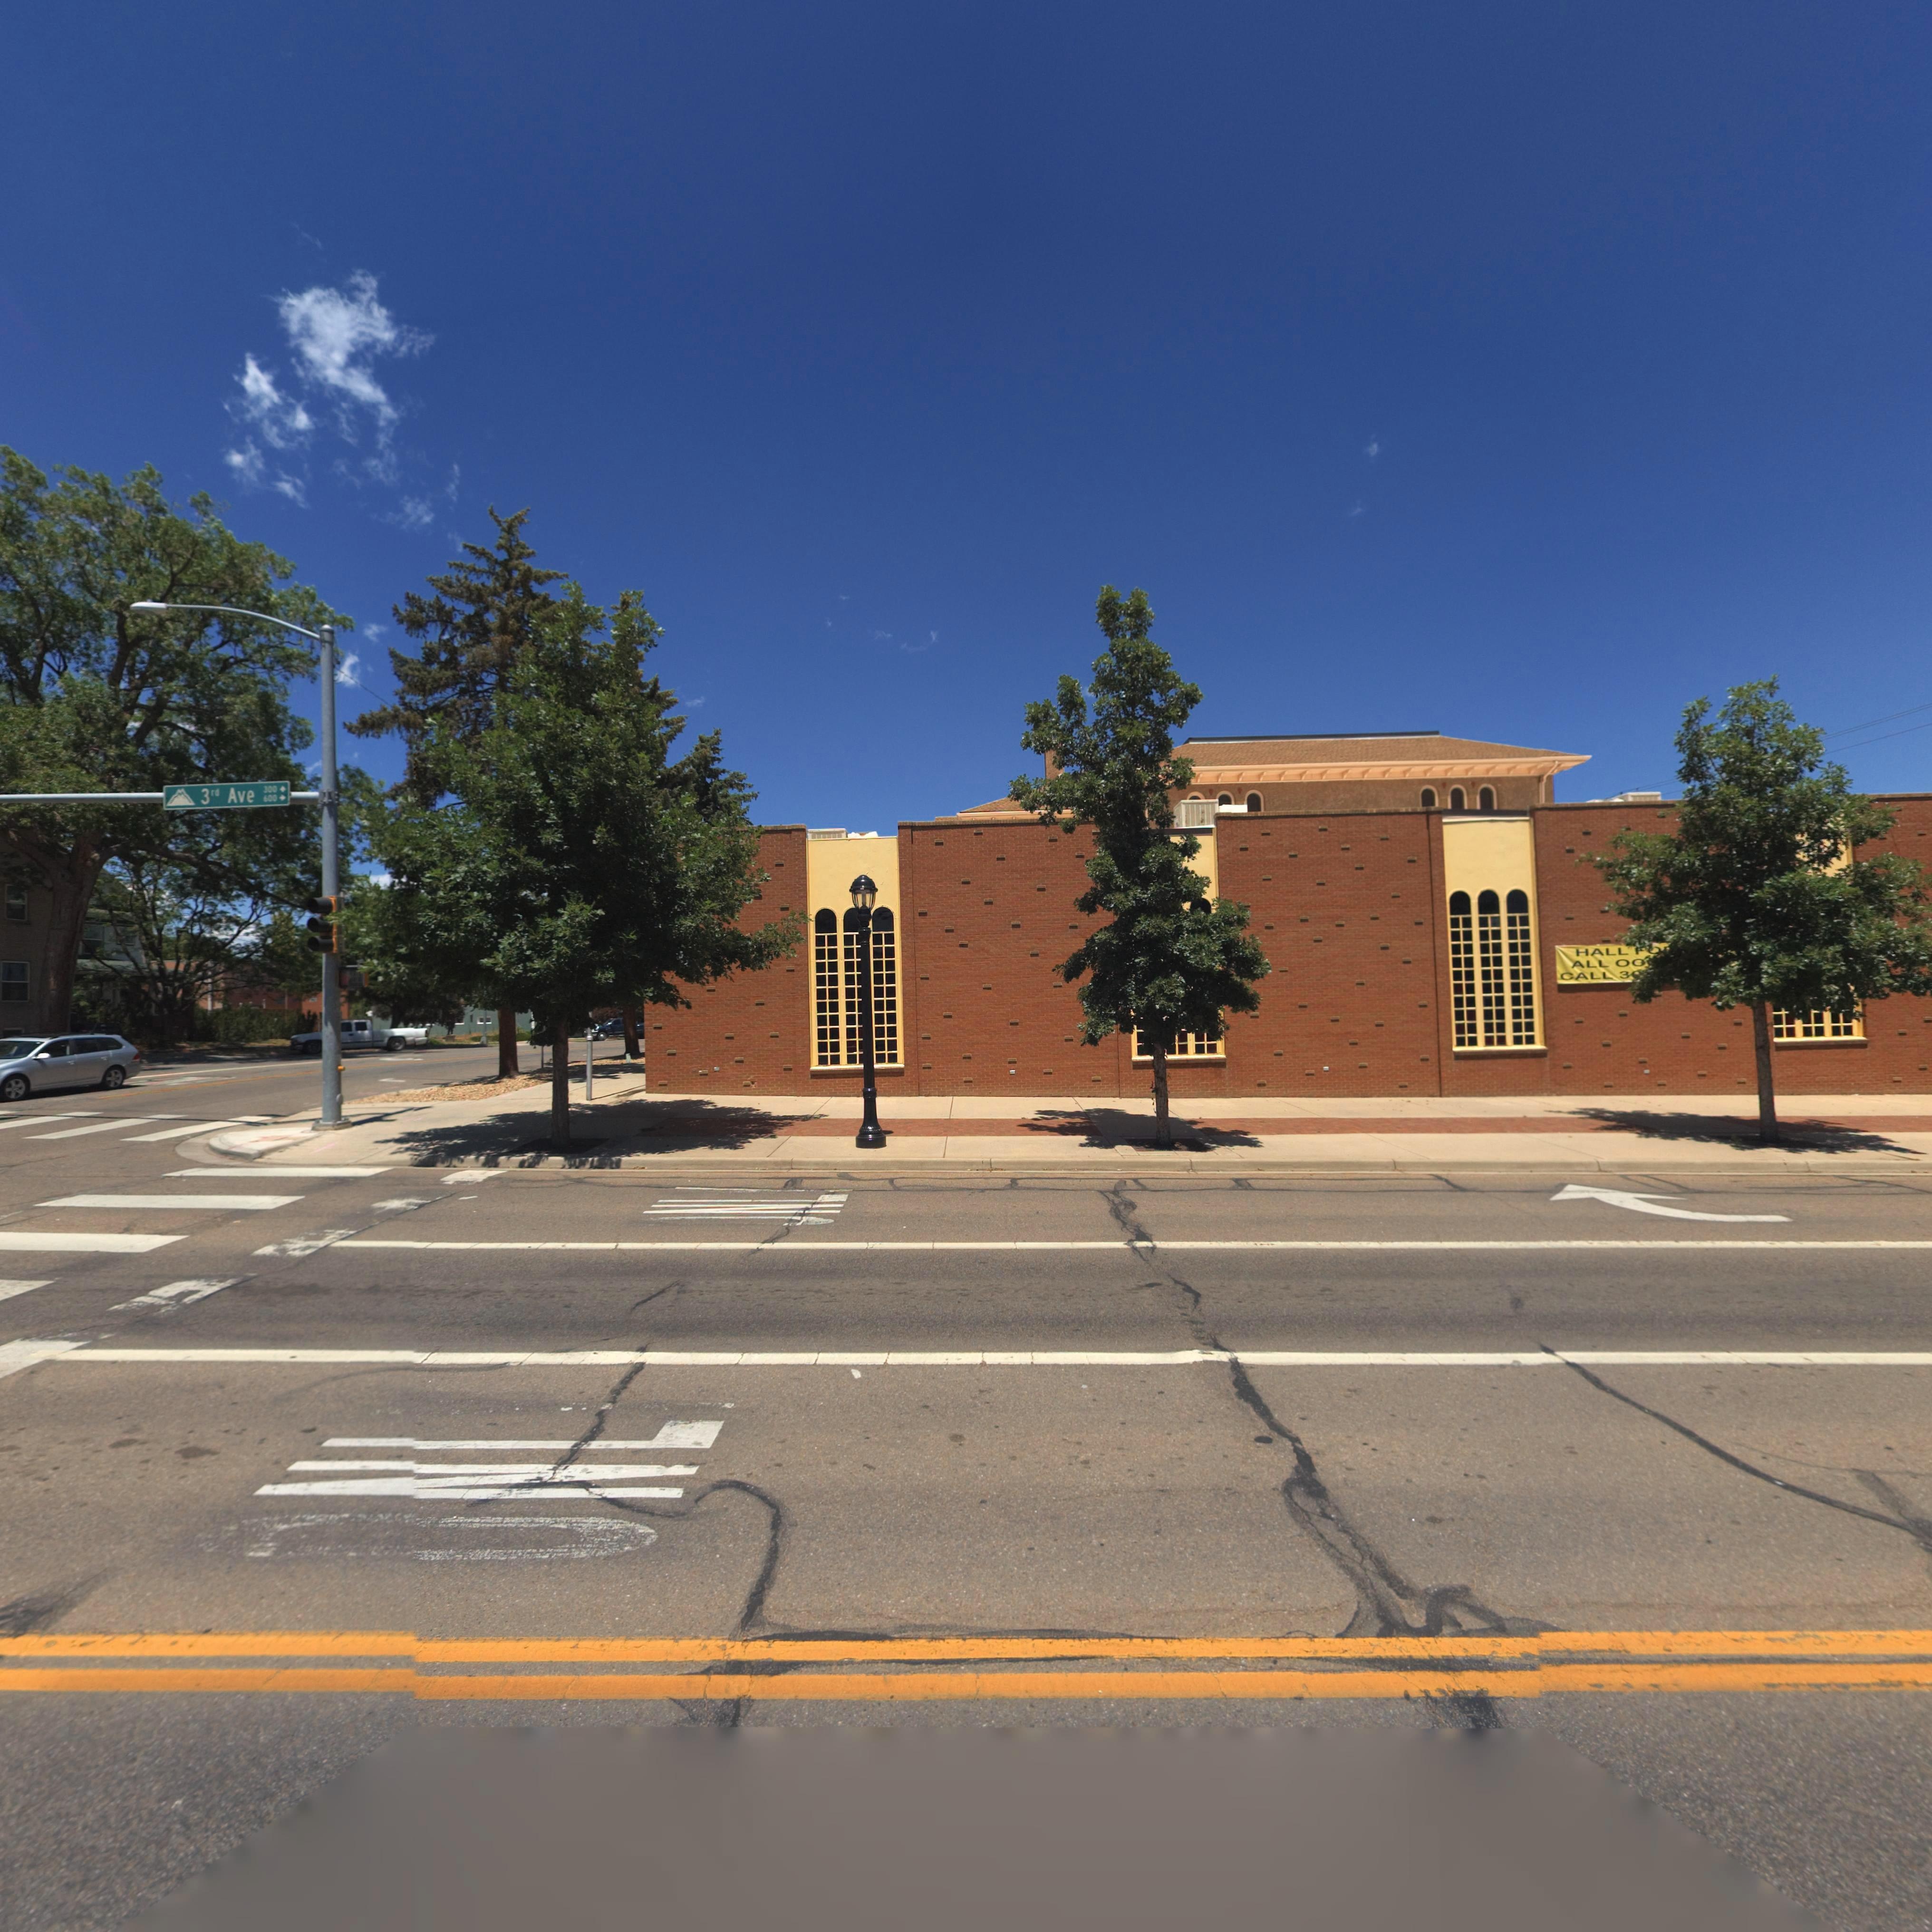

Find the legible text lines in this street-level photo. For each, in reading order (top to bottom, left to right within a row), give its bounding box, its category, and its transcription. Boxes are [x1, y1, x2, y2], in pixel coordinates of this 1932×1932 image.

[262, 785, 277, 792] StreetNumberRange: 300
[200, 787, 255, 804] StreetName: 3rd Ave
[263, 794, 286, 802] StreetNumberRange: 600 ->